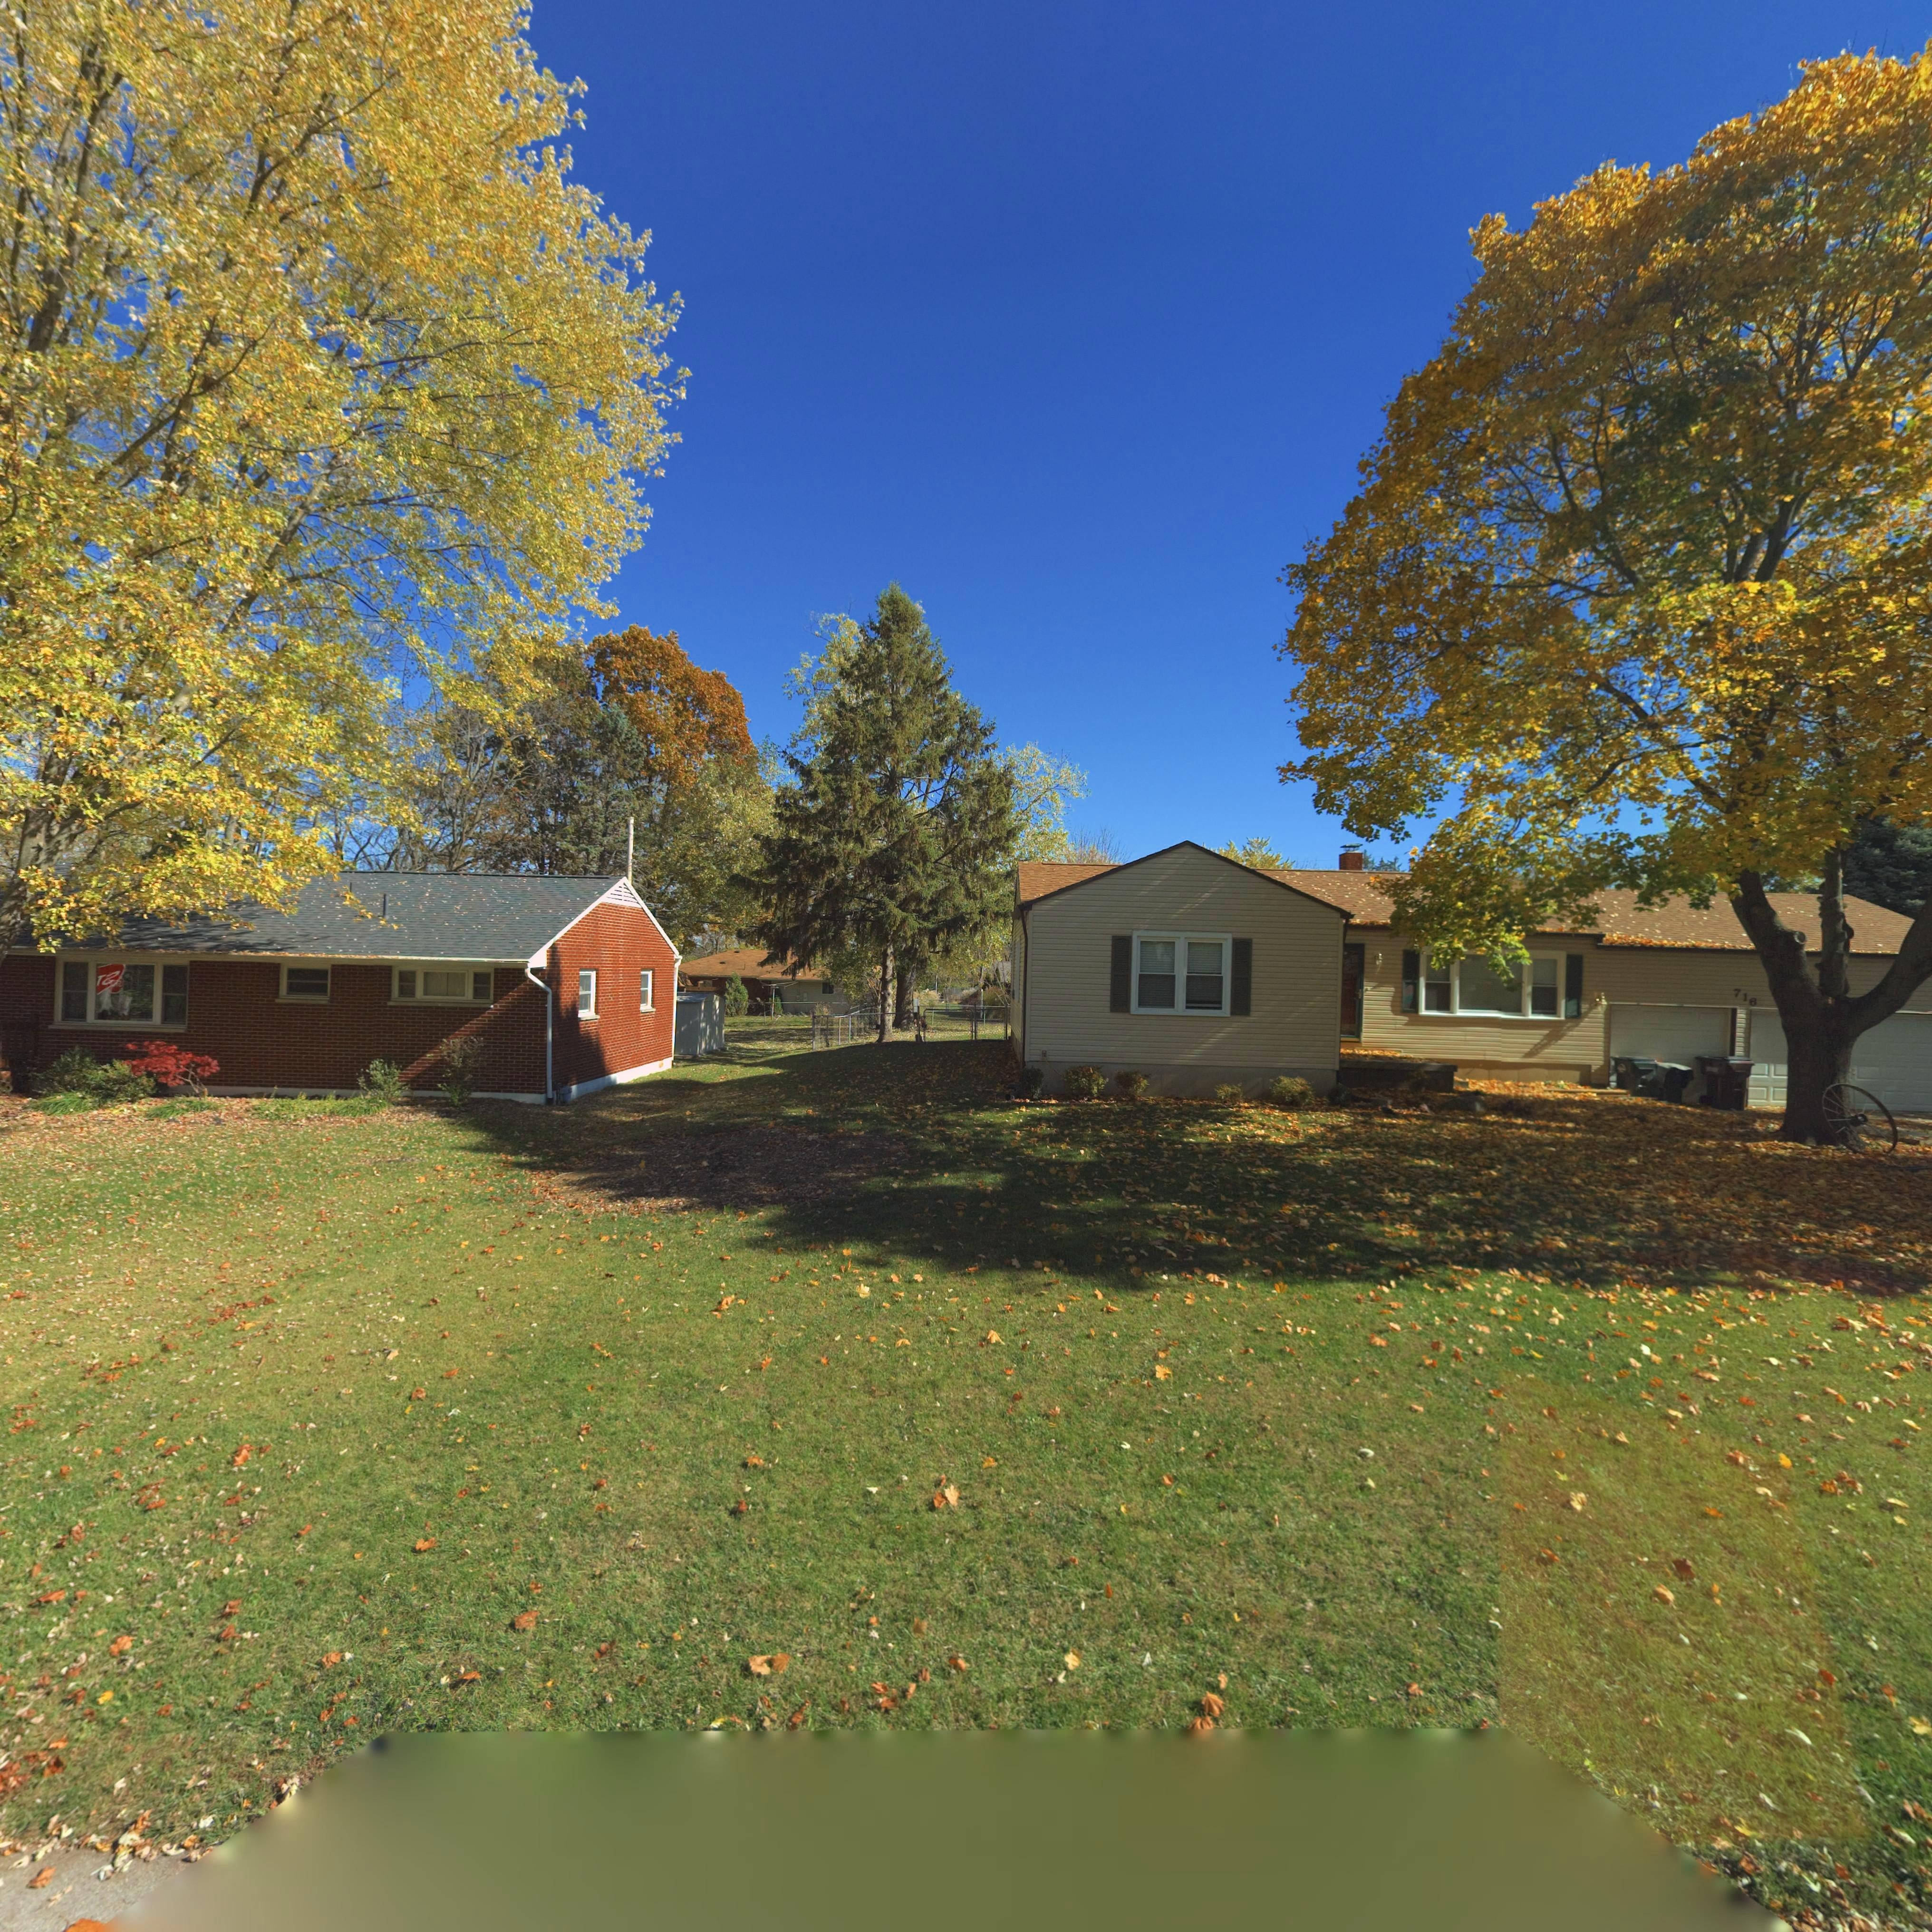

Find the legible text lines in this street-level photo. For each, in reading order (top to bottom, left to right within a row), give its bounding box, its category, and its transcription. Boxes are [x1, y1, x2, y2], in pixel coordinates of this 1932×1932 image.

[1732, 988, 1758, 1007] StreetNumber: 716